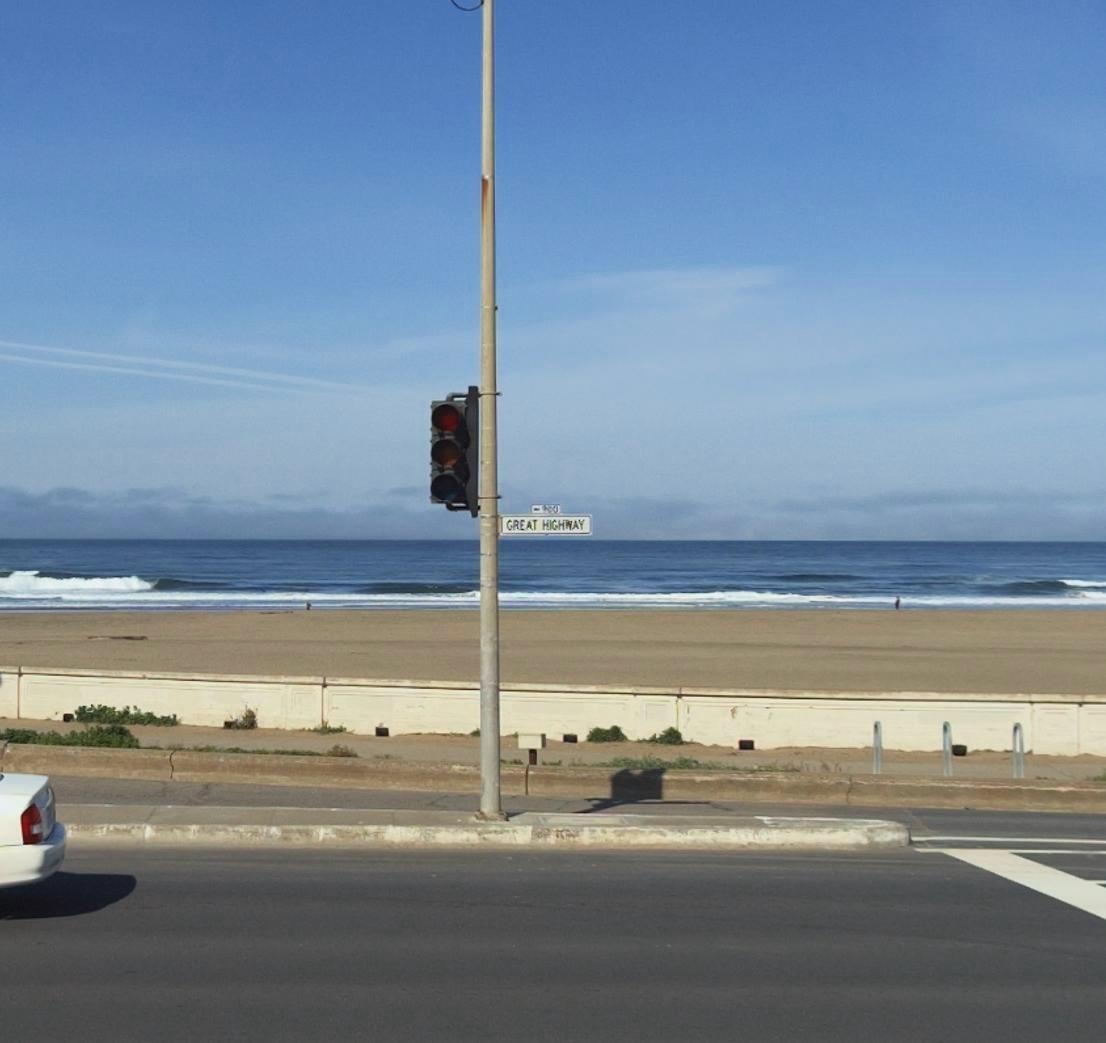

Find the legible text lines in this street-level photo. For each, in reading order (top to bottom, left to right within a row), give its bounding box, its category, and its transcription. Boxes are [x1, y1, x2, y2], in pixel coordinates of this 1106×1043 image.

[531, 505, 558, 514] StreetNumberRange: <-900
[504, 518, 585, 531] StreetName: GREAT HIGHWAY